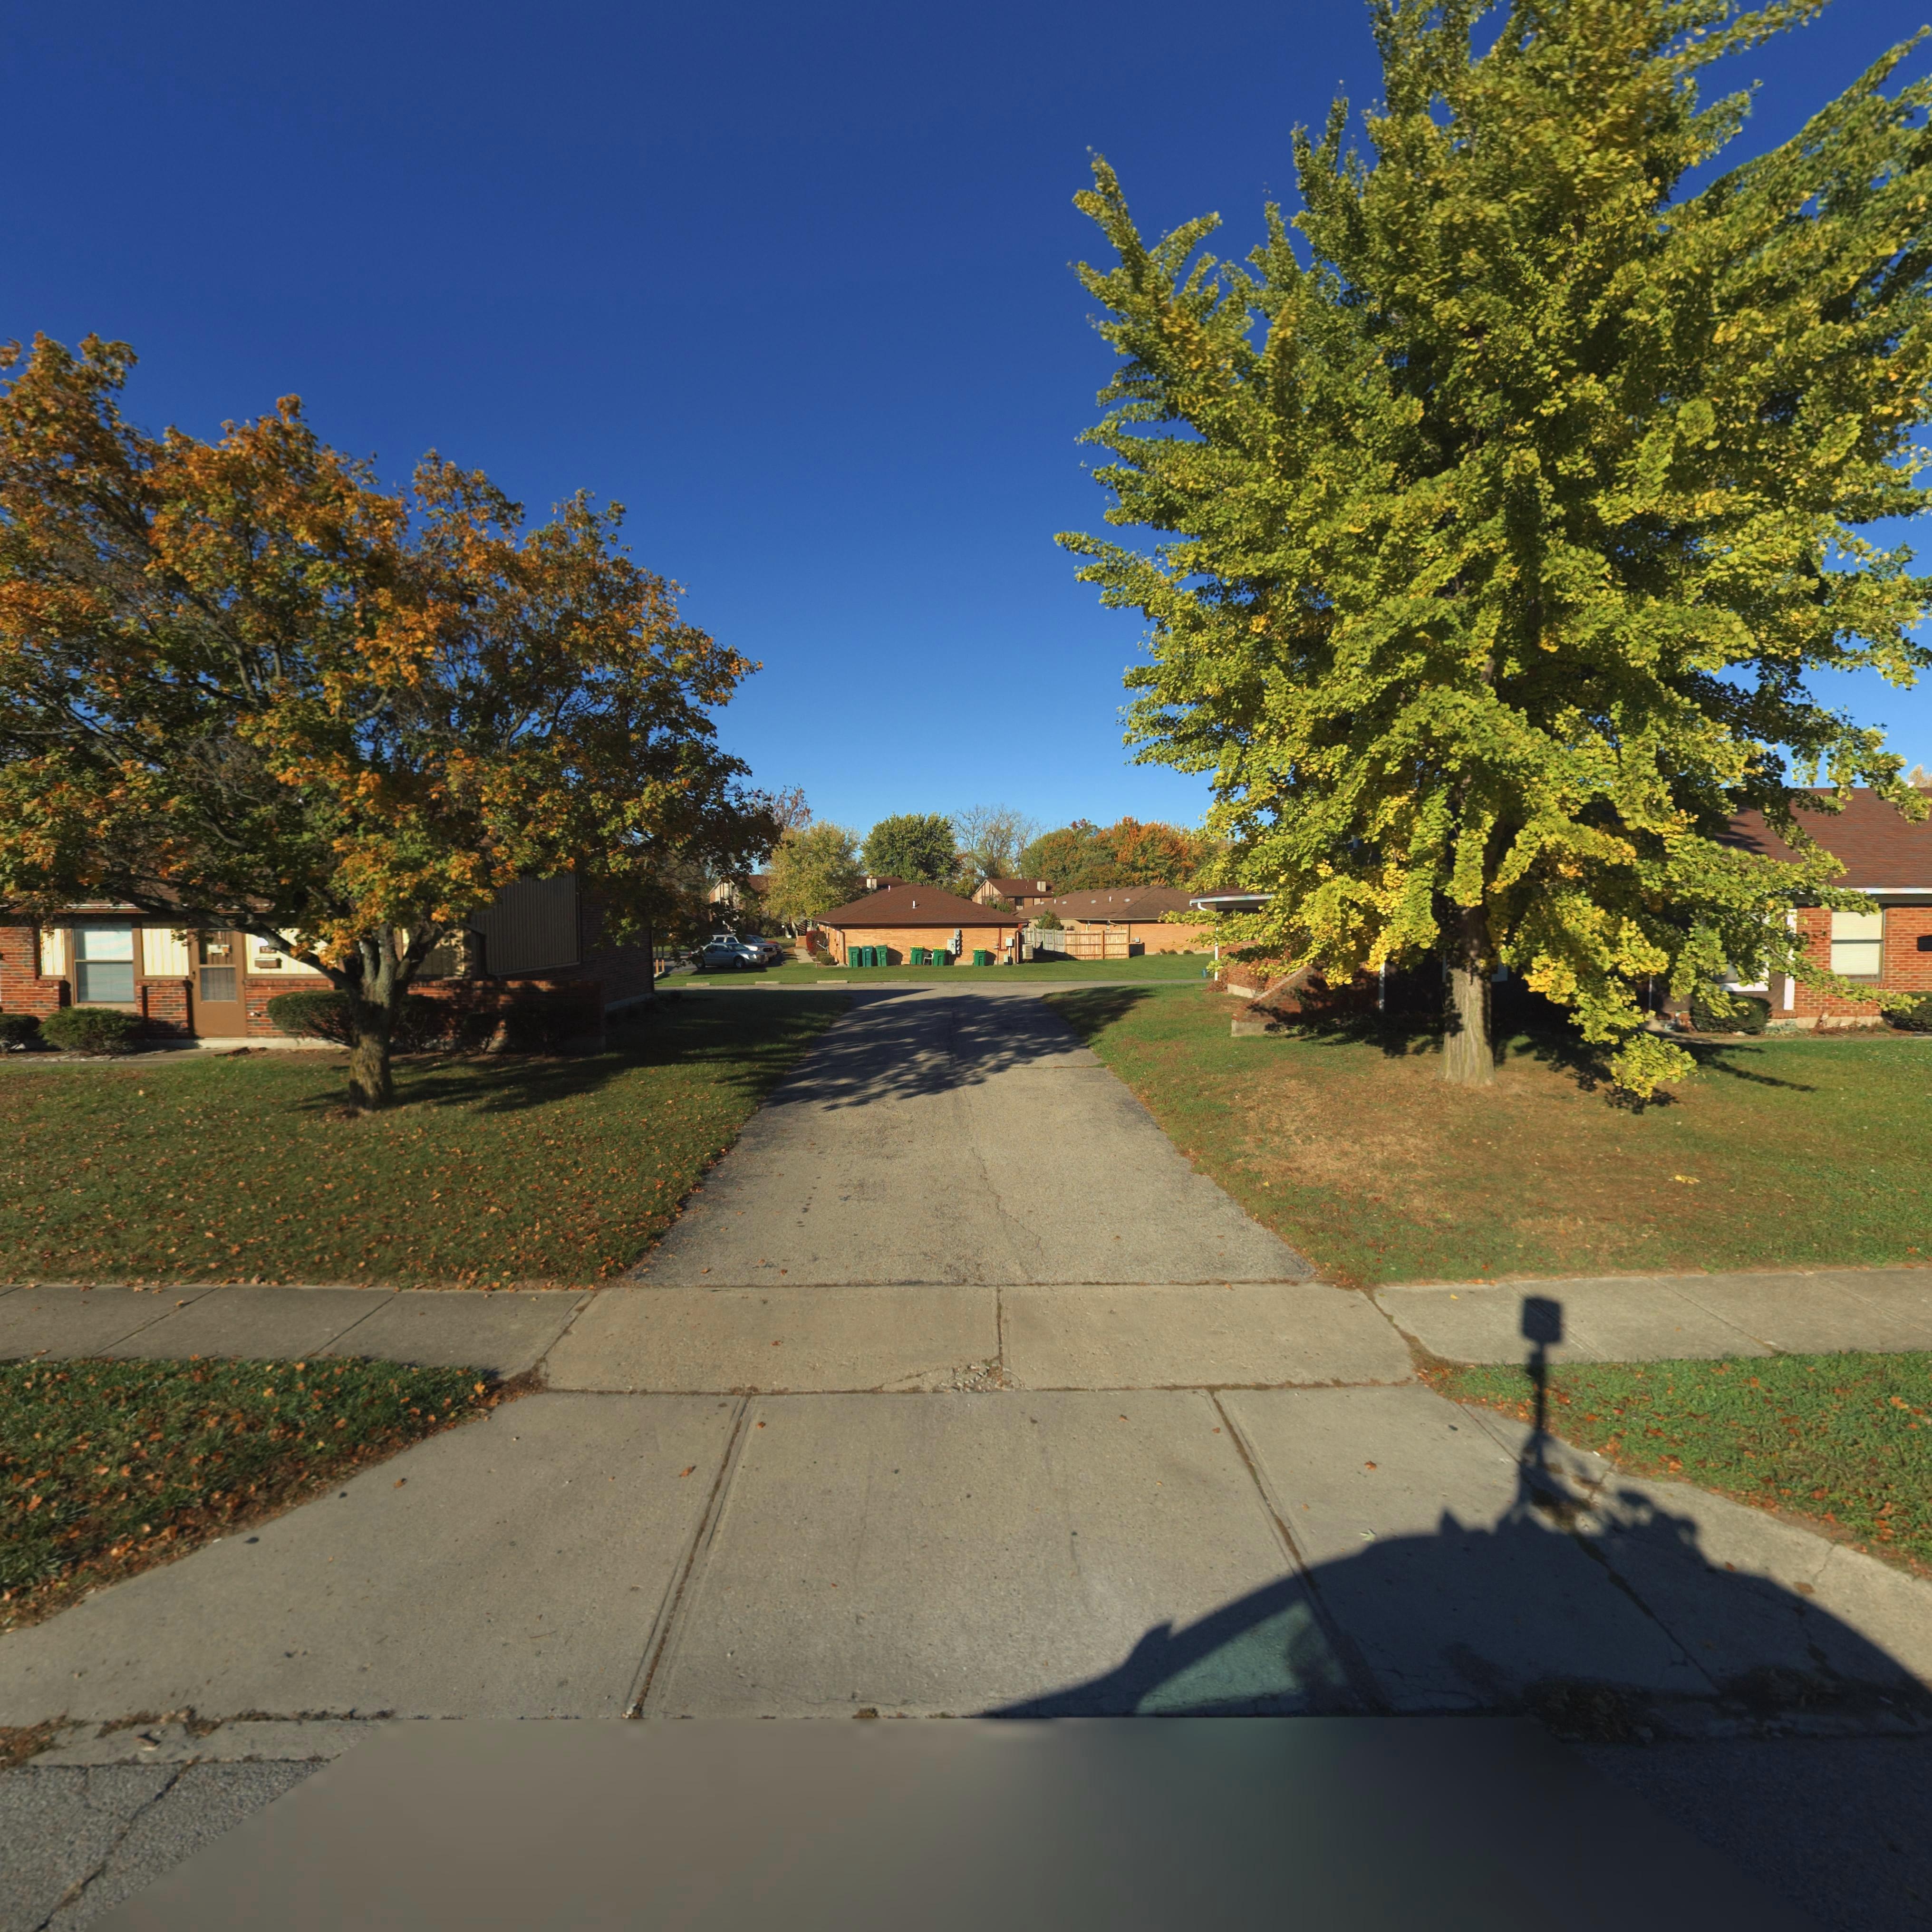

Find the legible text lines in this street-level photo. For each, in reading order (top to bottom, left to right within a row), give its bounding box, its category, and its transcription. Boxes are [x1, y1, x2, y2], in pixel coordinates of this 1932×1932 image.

[260, 947, 276, 953] StreetNumber: 5313